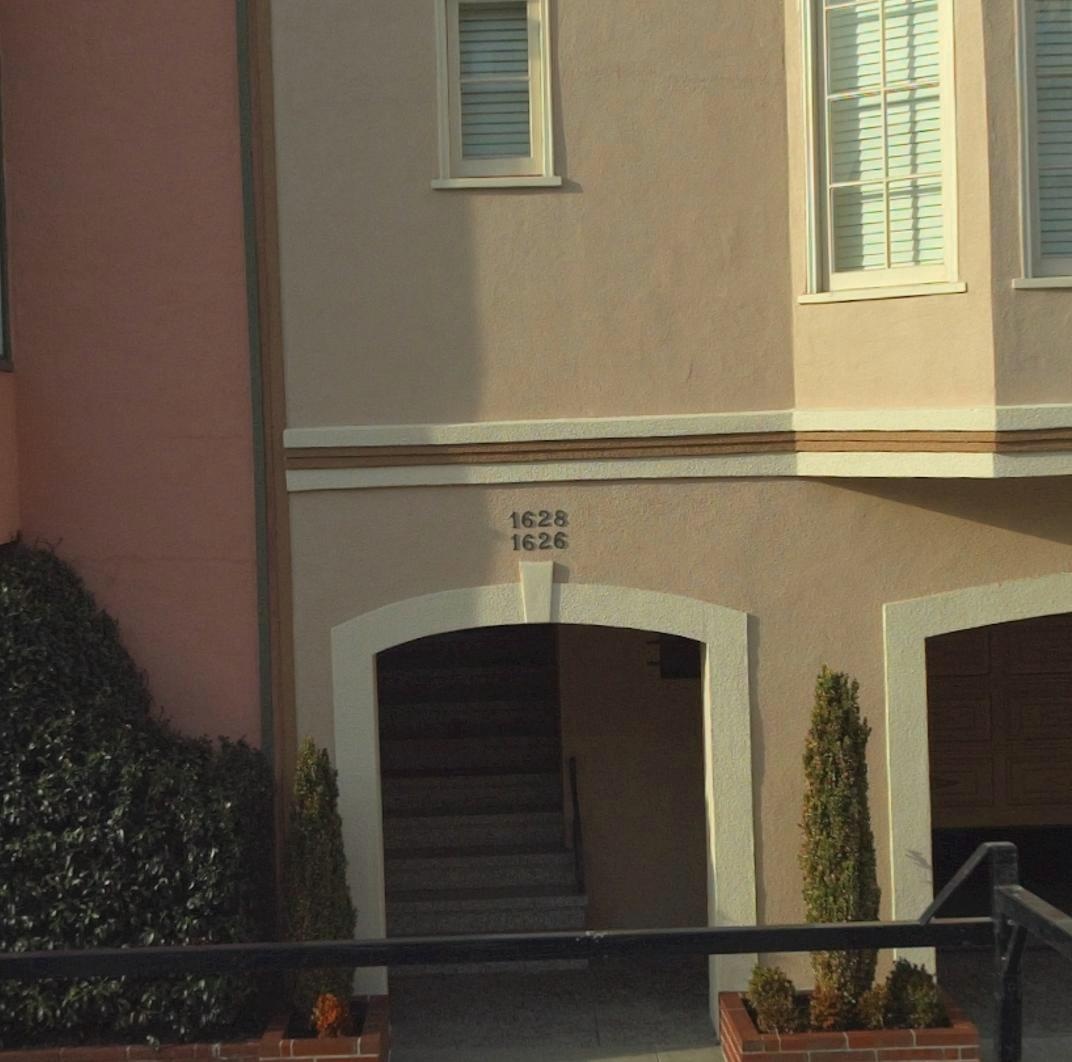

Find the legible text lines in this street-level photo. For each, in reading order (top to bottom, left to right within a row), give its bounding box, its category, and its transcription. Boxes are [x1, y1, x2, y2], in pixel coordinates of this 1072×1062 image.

[507, 507, 568, 530] StreetNumber: 1628
[509, 530, 567, 553] StreetNumber: 1626